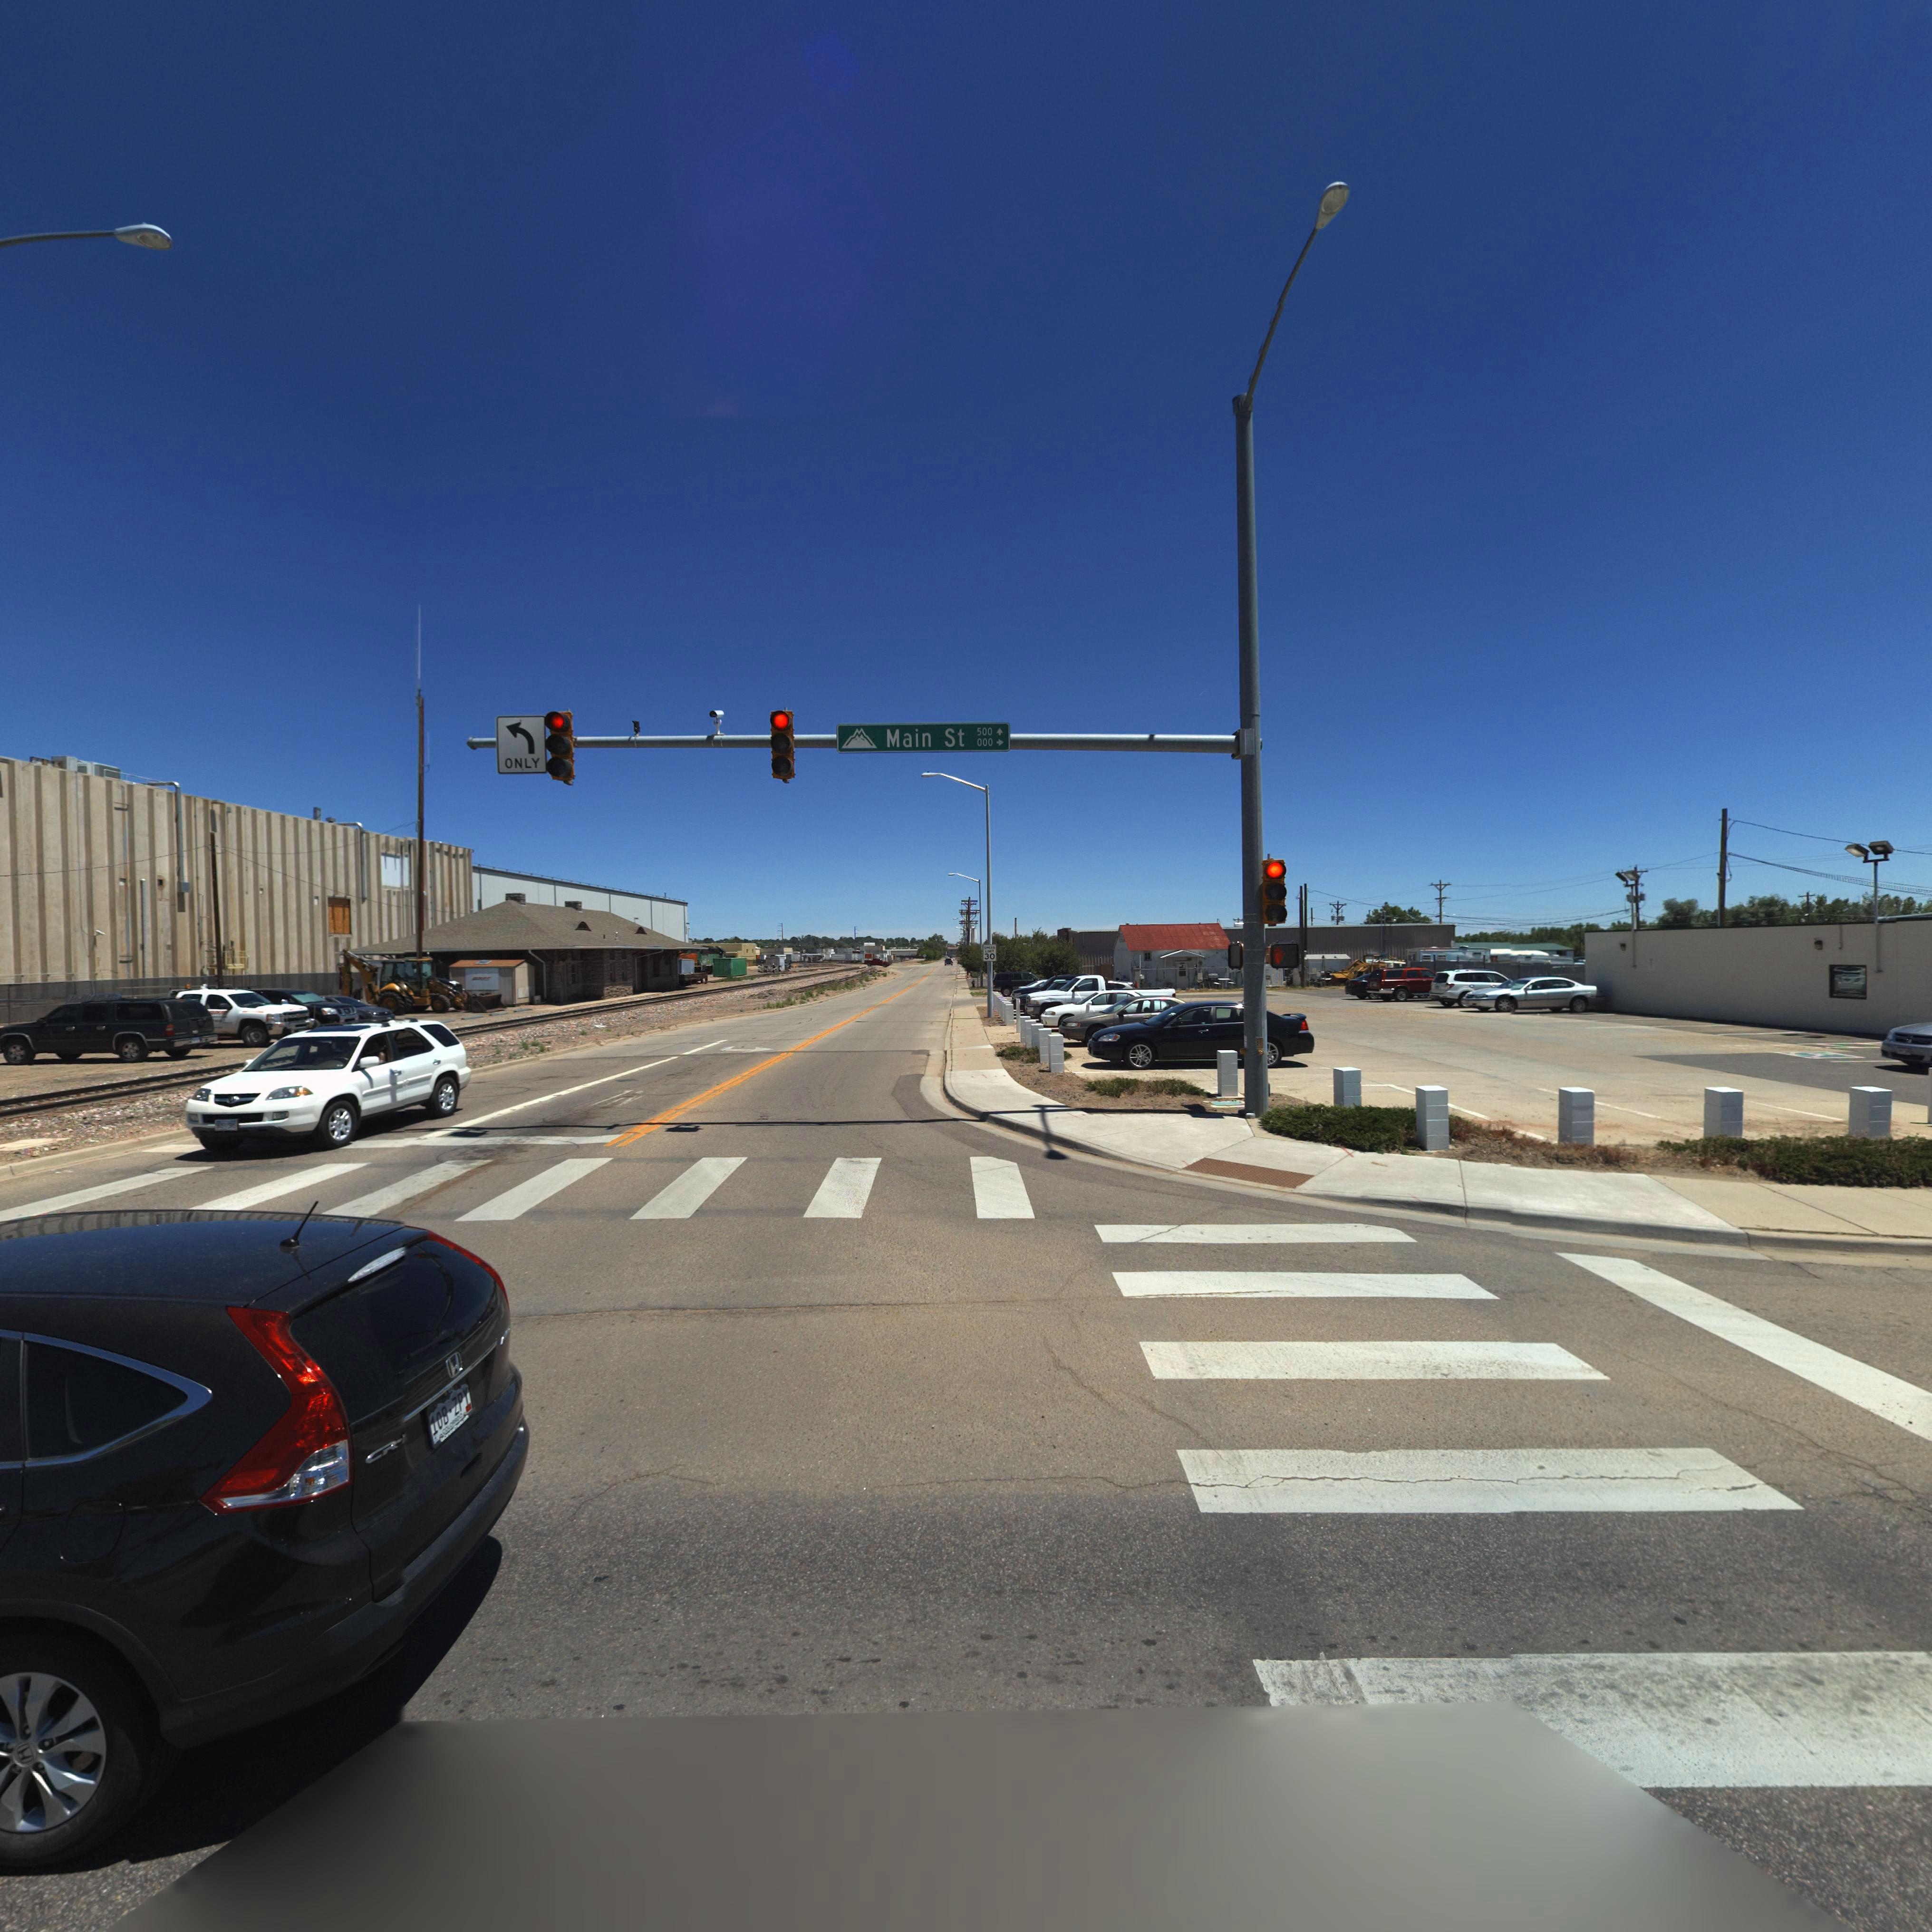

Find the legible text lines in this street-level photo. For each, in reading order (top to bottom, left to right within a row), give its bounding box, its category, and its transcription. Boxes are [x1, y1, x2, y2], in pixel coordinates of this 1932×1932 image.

[976, 726, 993, 736] StreetNumberRange: 500
[886, 728, 965, 748] StreetName: Main St
[976, 737, 1005, 746] SecondaryUnitDesignator: 000->